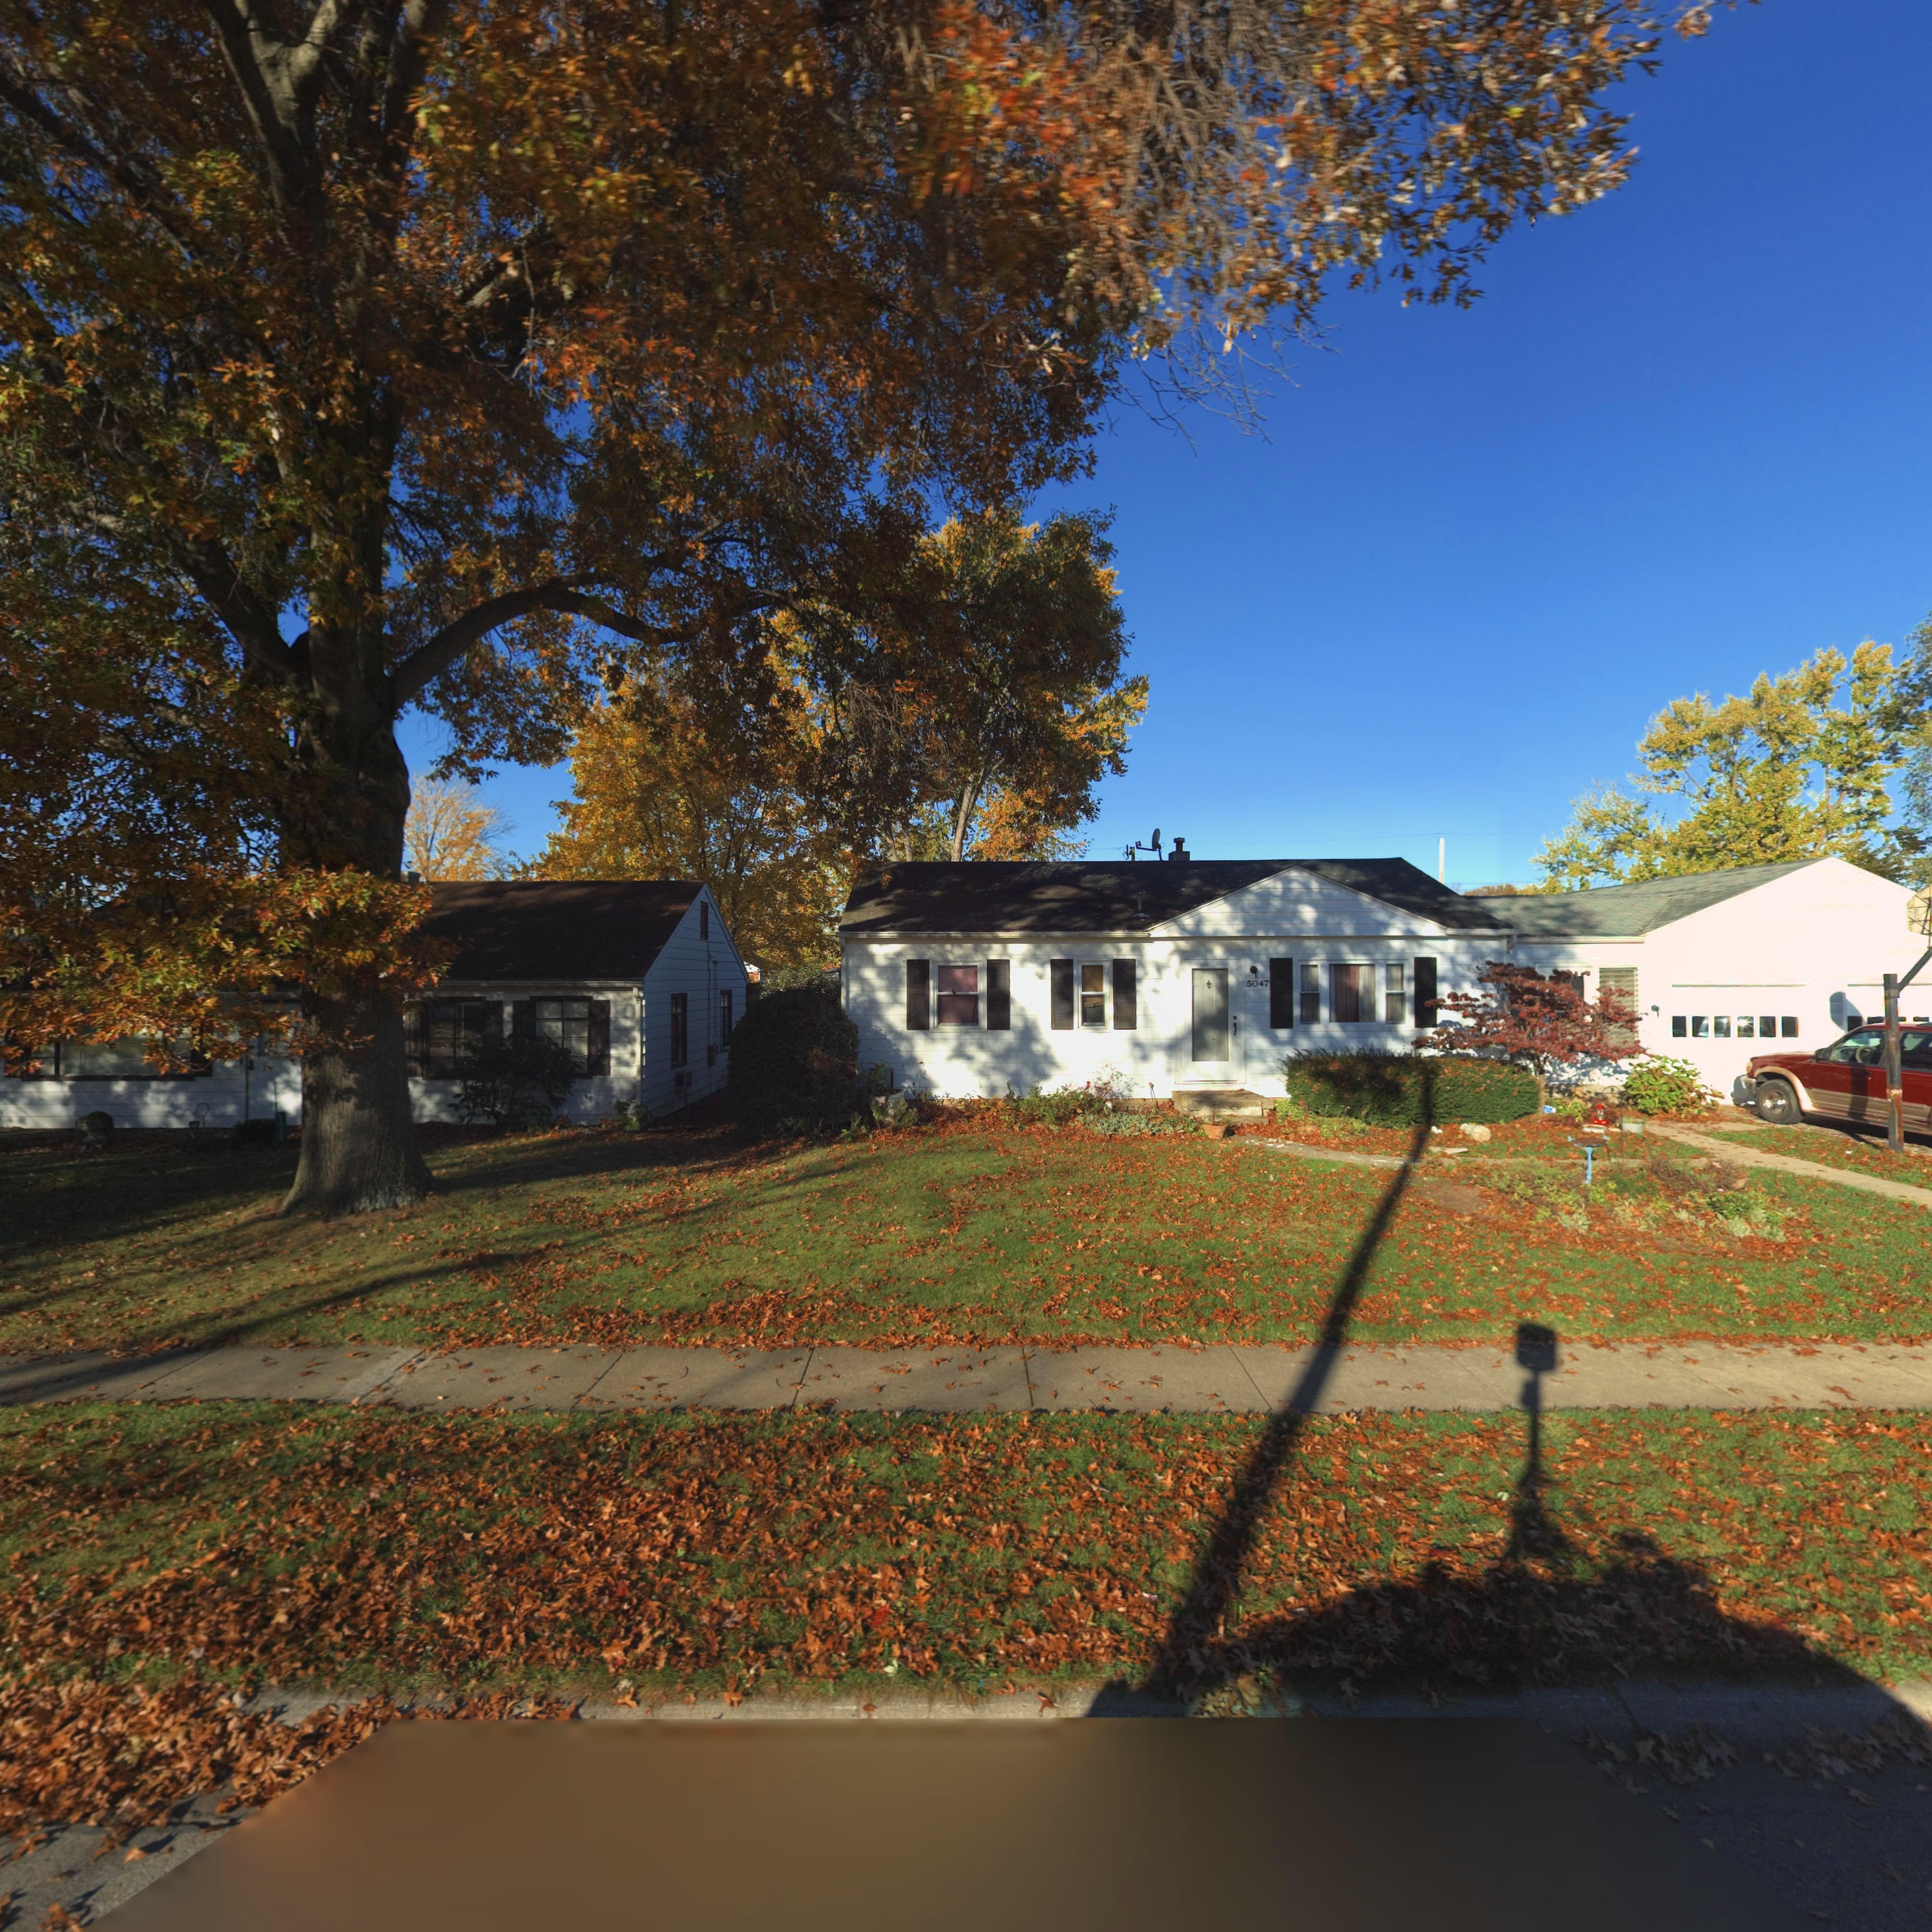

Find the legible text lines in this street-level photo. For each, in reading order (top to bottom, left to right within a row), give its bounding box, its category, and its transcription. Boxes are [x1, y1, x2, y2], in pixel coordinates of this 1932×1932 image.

[1246, 980, 1270, 987] StreetNumber: 5047